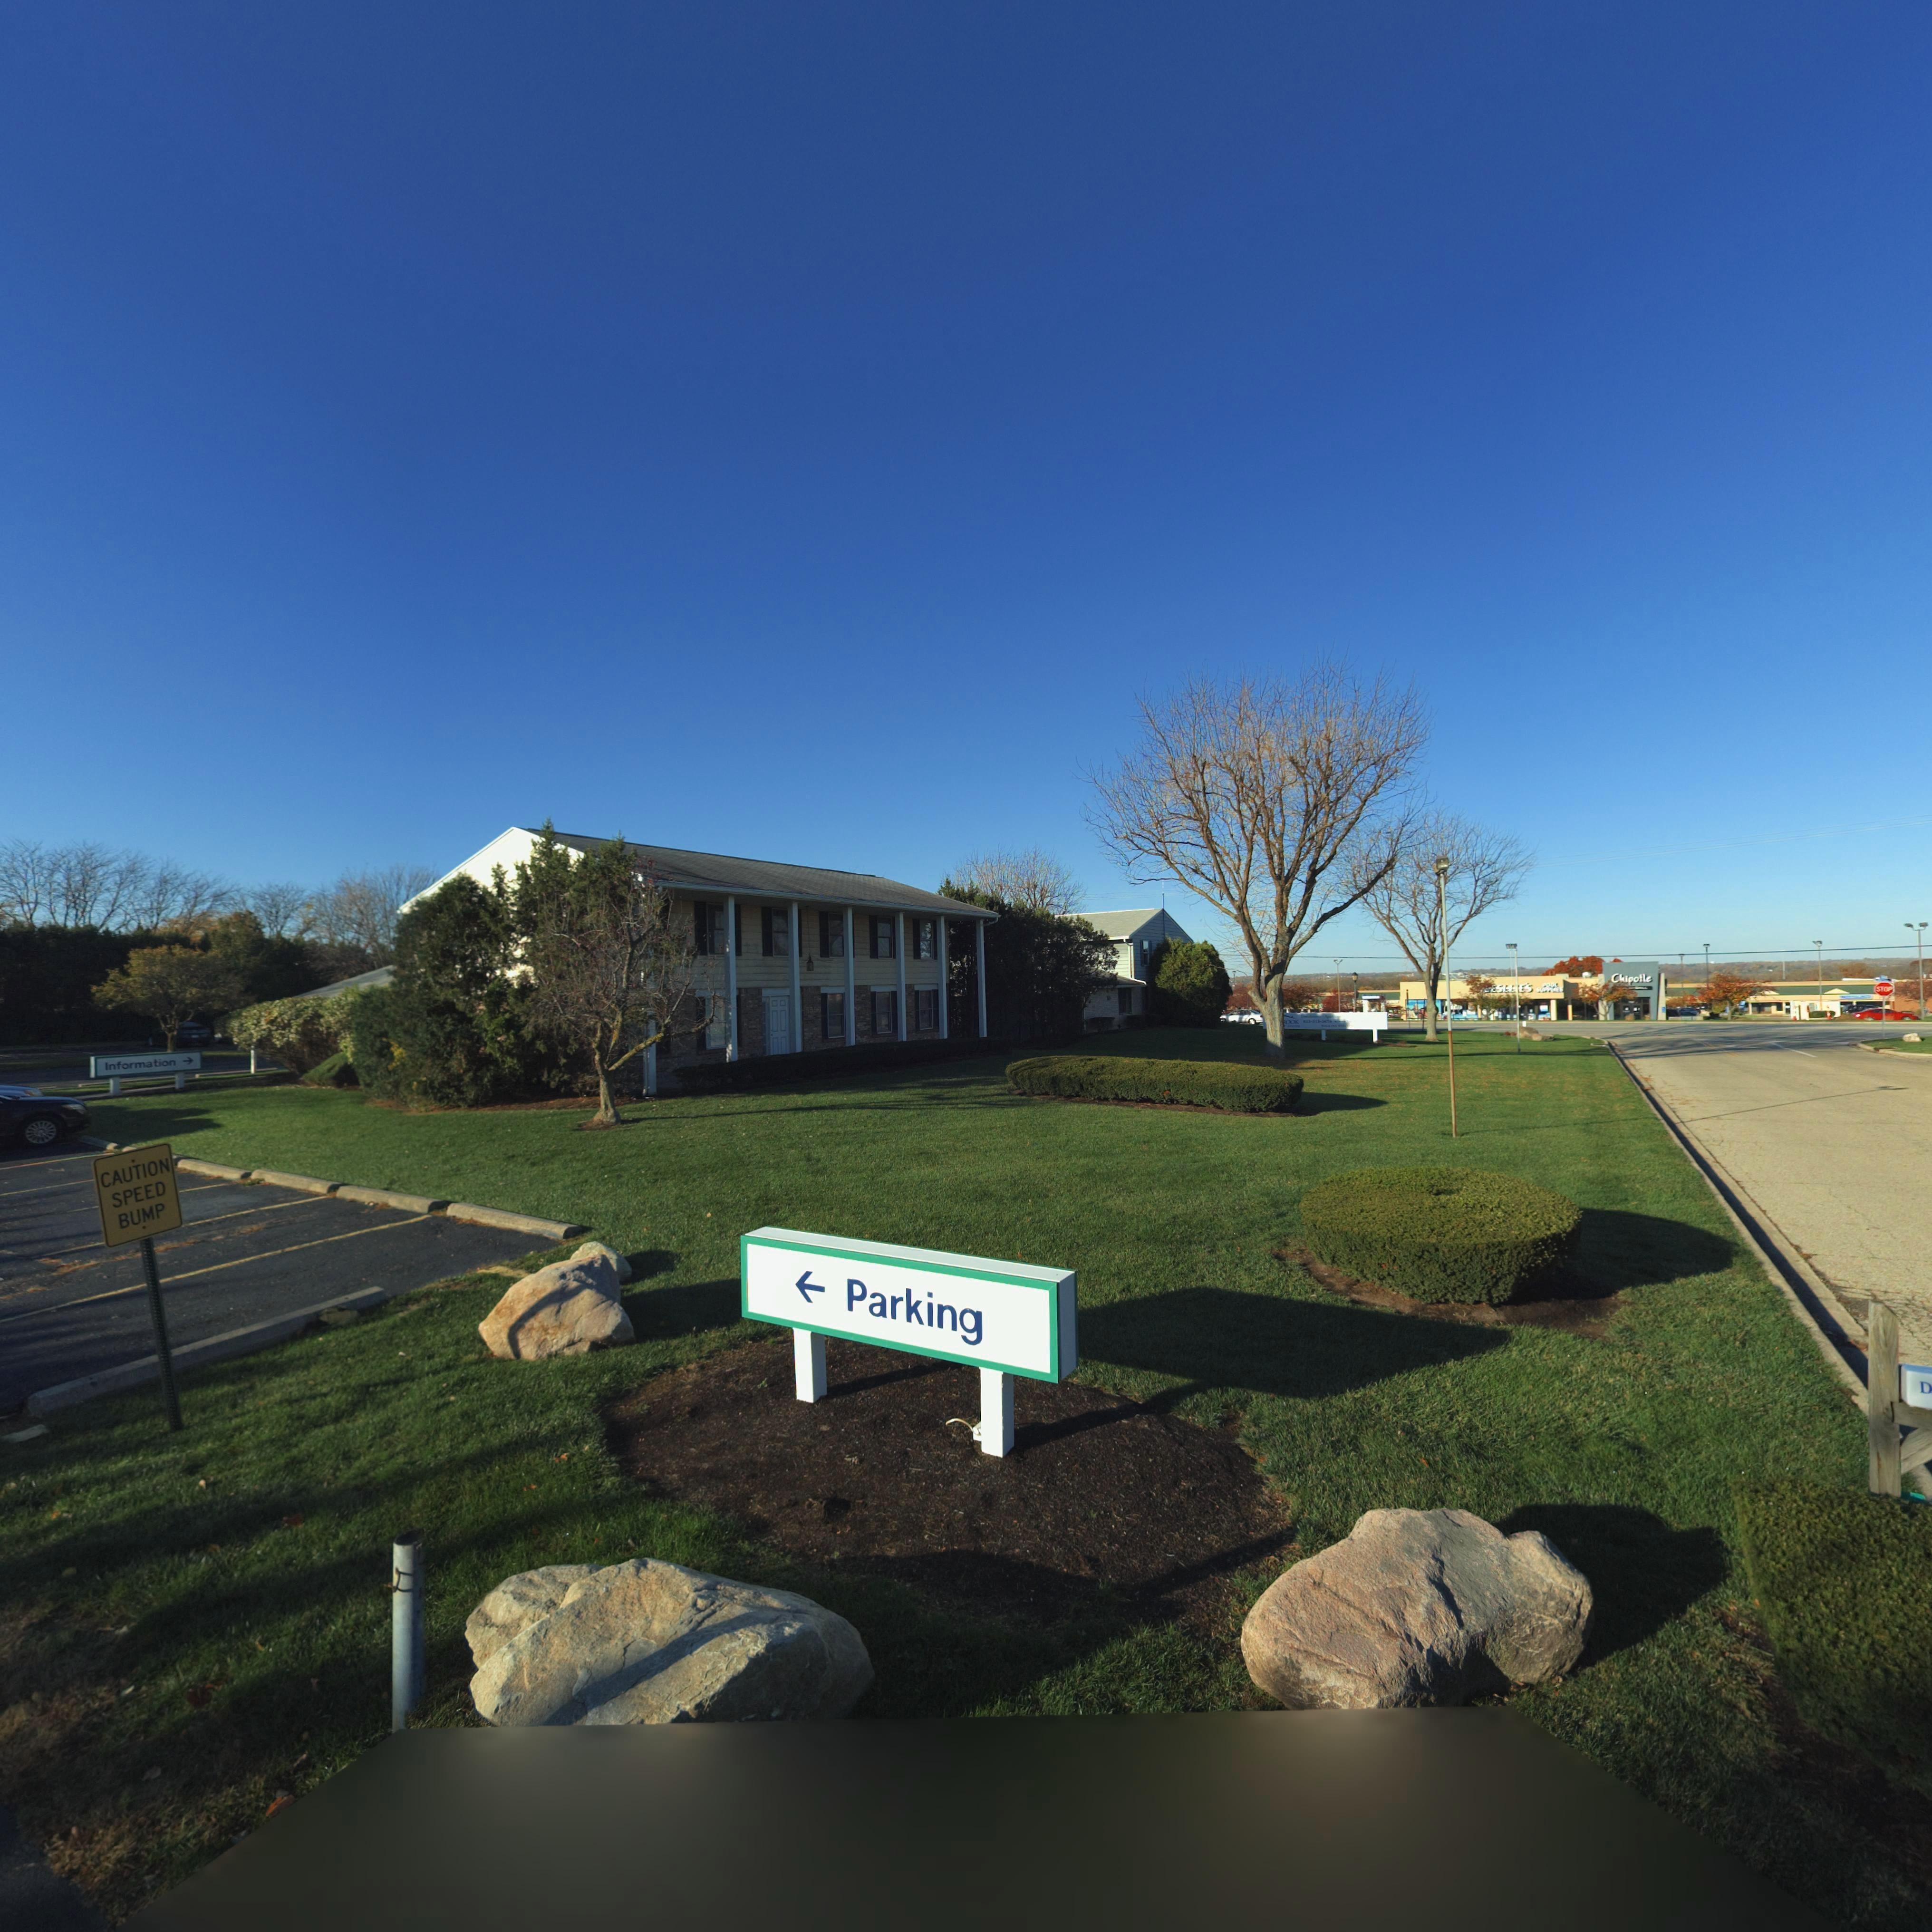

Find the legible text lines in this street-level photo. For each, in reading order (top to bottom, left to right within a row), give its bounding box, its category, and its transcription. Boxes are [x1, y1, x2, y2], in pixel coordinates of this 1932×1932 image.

[805, 1006, 821, 1014] StreetNumber: 5550